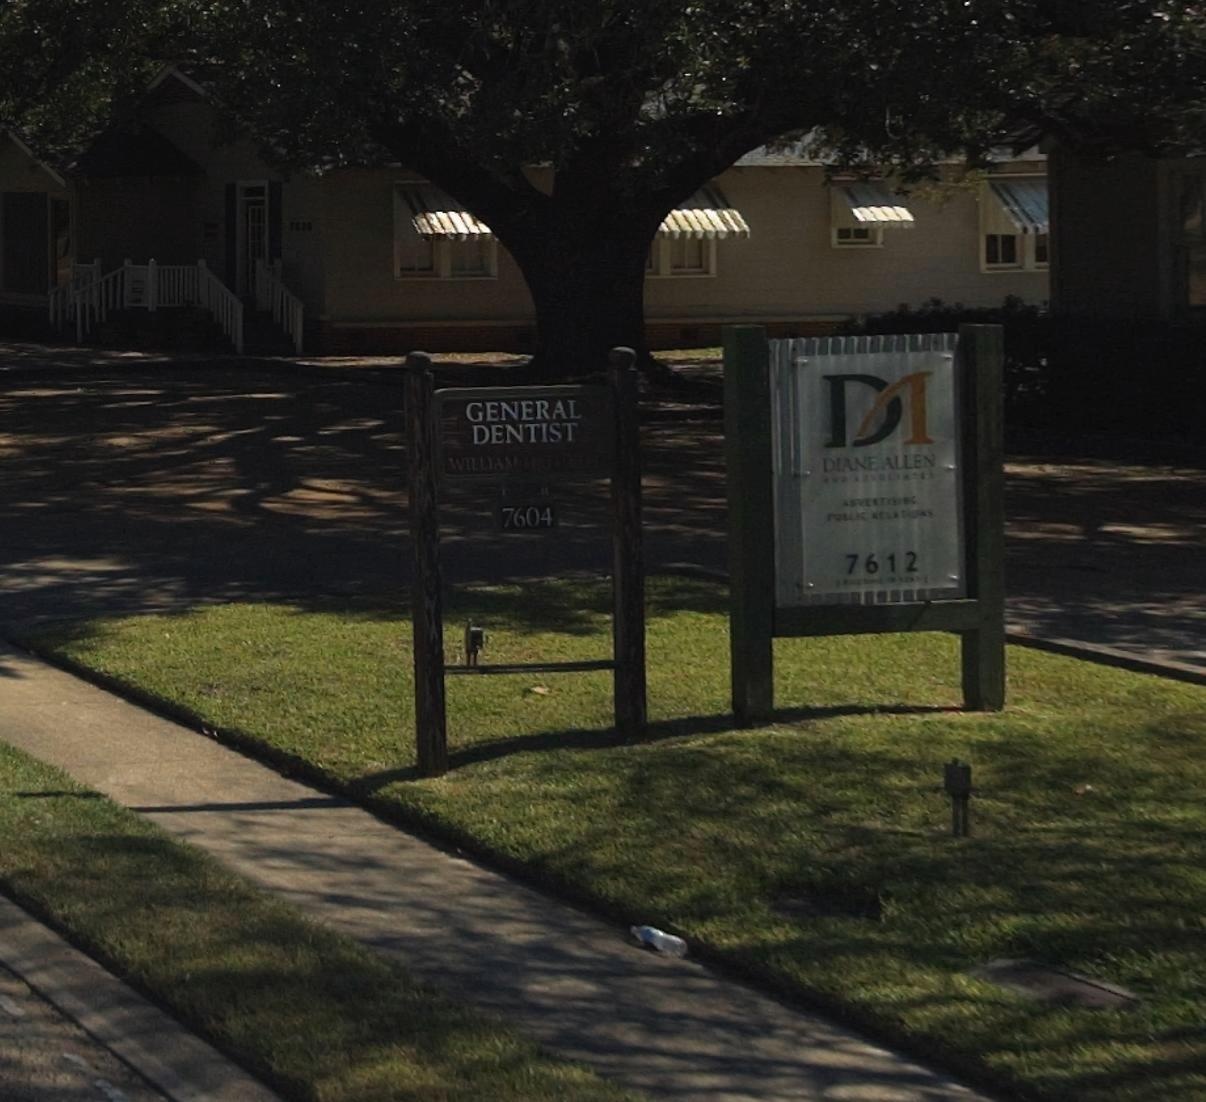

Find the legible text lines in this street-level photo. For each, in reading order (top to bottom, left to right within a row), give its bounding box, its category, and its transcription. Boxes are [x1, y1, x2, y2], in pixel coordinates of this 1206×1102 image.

[461, 396, 589, 423] BusinessName: GENERAL
[820, 367, 937, 451] None: DI
[469, 419, 581, 448] BusinessName: DENTIST
[445, 453, 522, 475] None: WILLIAM
[820, 450, 939, 475] BusinessName: DIANE ALLEN
[838, 494, 920, 509] None: ADVERT***NG
[497, 503, 555, 531] StreetNumber: 7604
[843, 549, 924, 578] StreetNumber: 7612